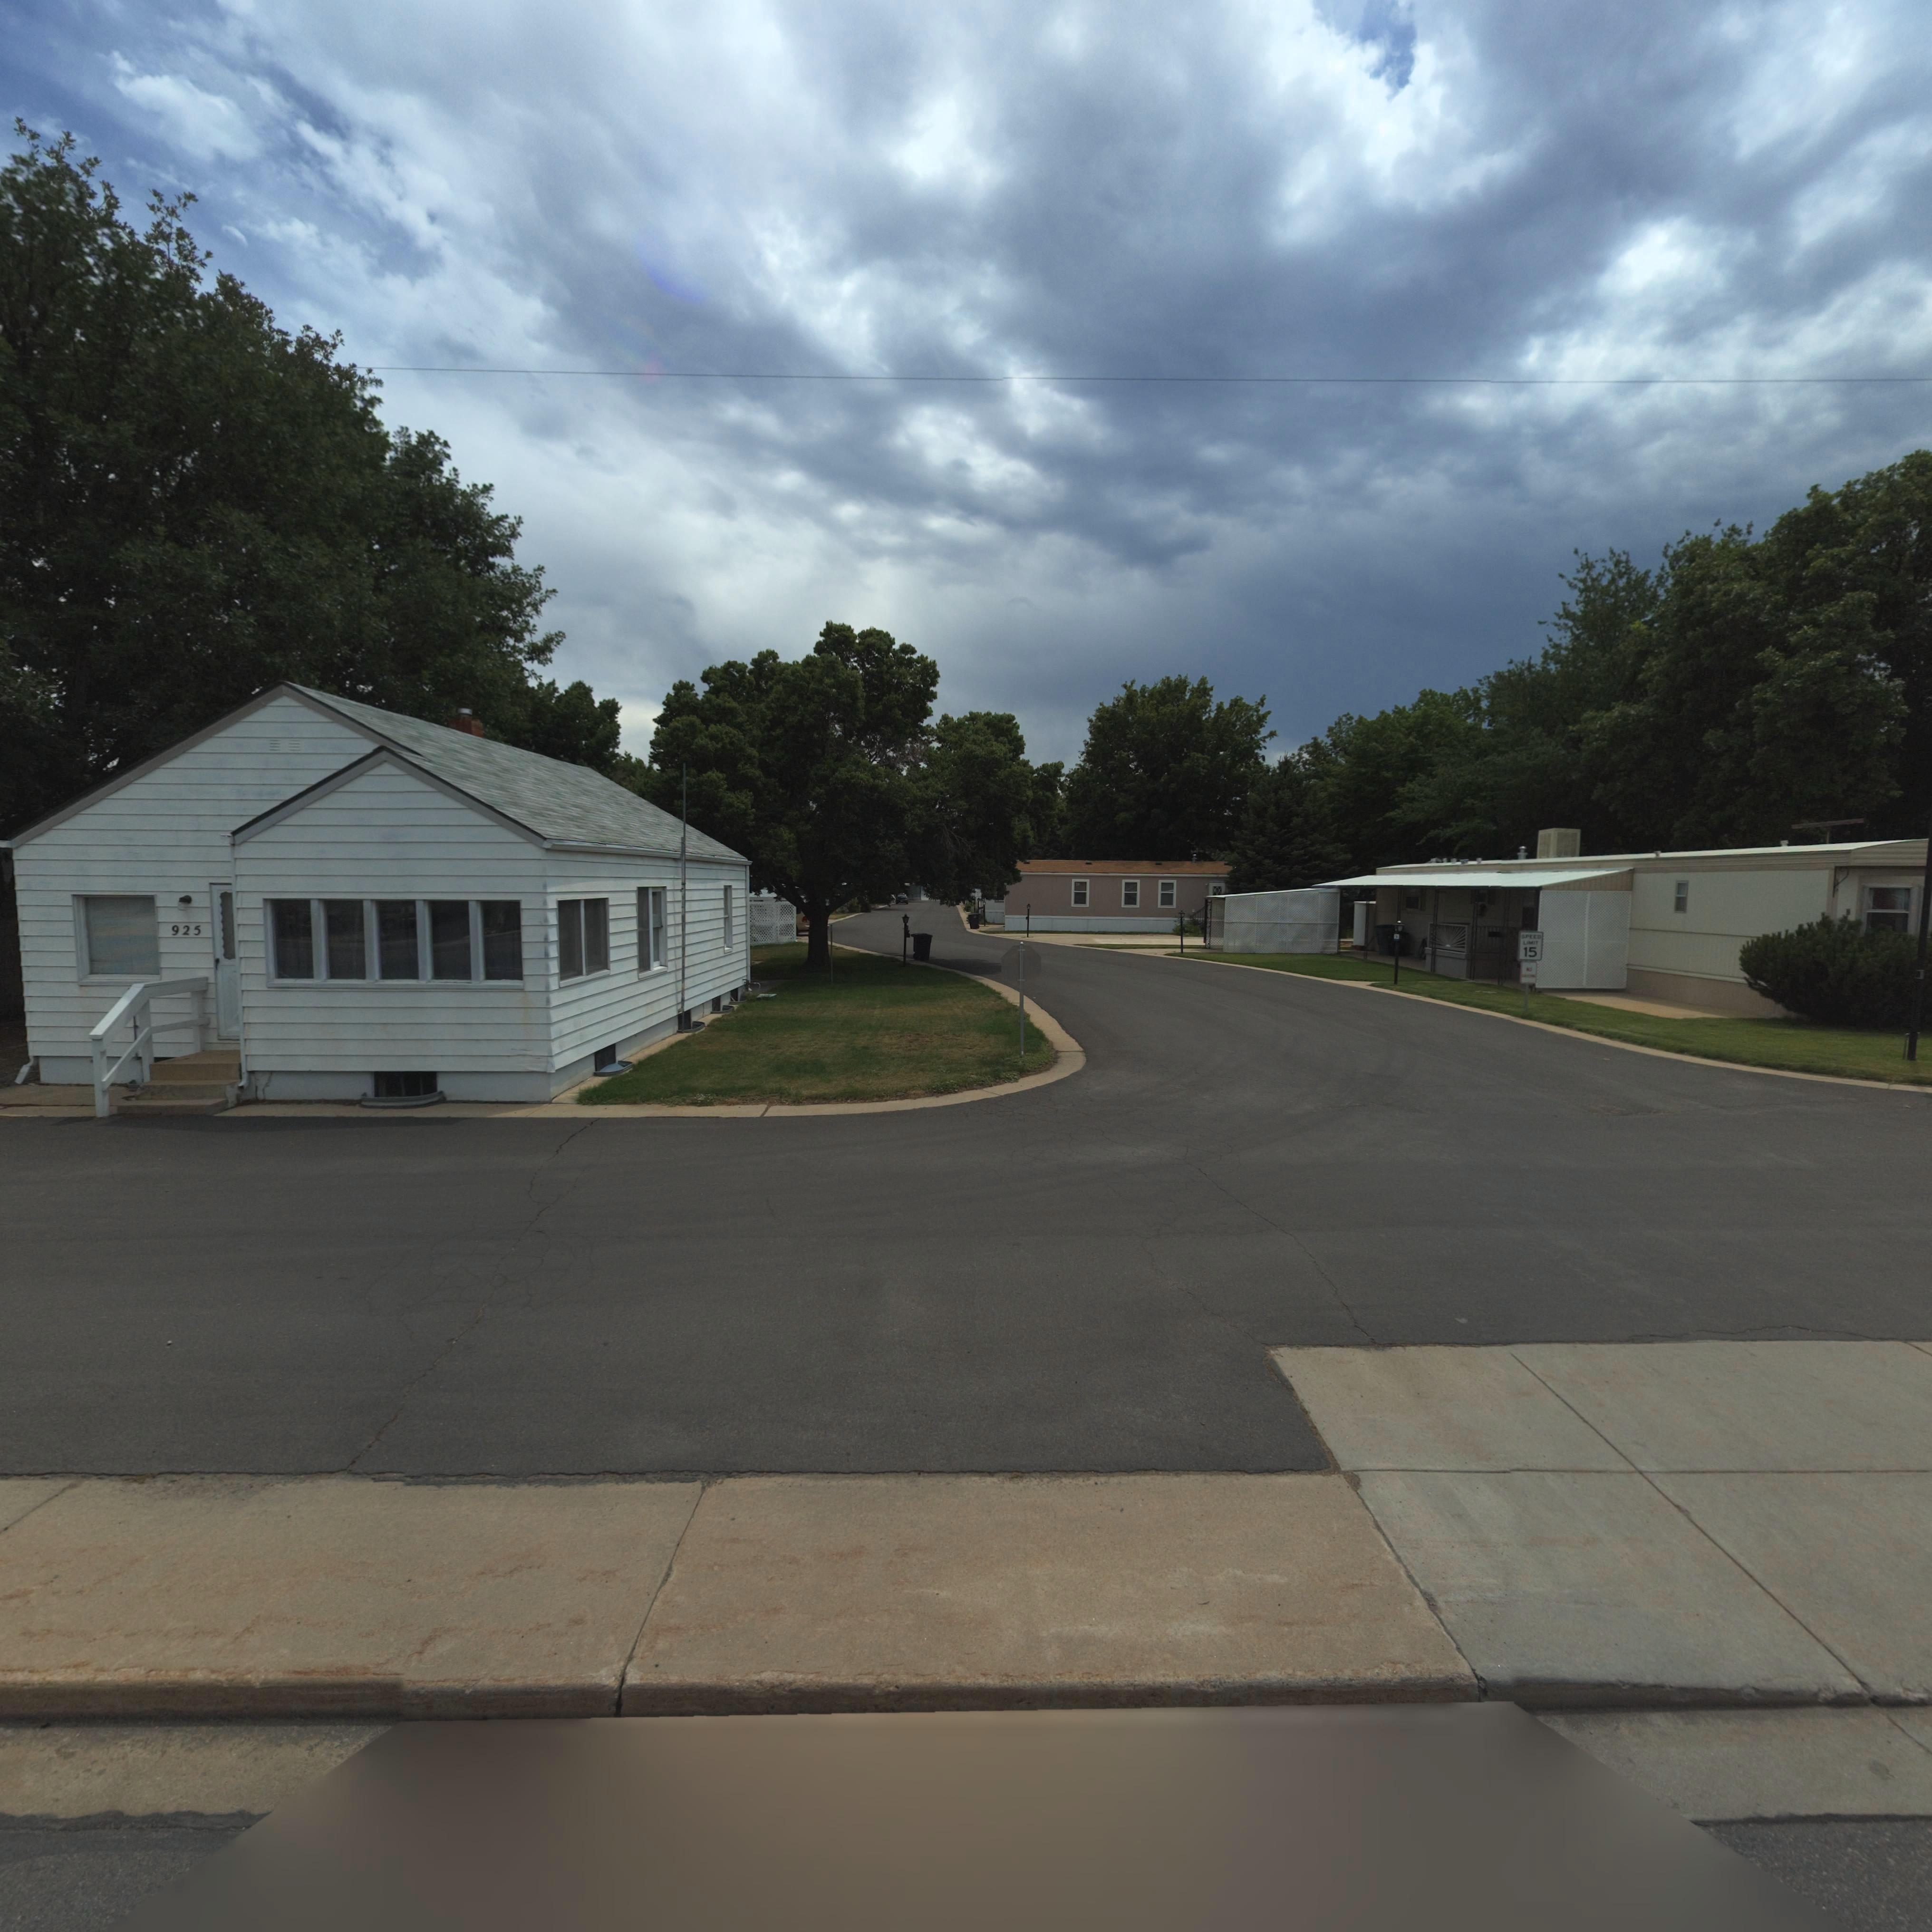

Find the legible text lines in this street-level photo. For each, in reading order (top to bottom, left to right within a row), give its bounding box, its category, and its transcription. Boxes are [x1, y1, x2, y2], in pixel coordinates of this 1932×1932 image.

[170, 924, 201, 937] StreetNumber: 925